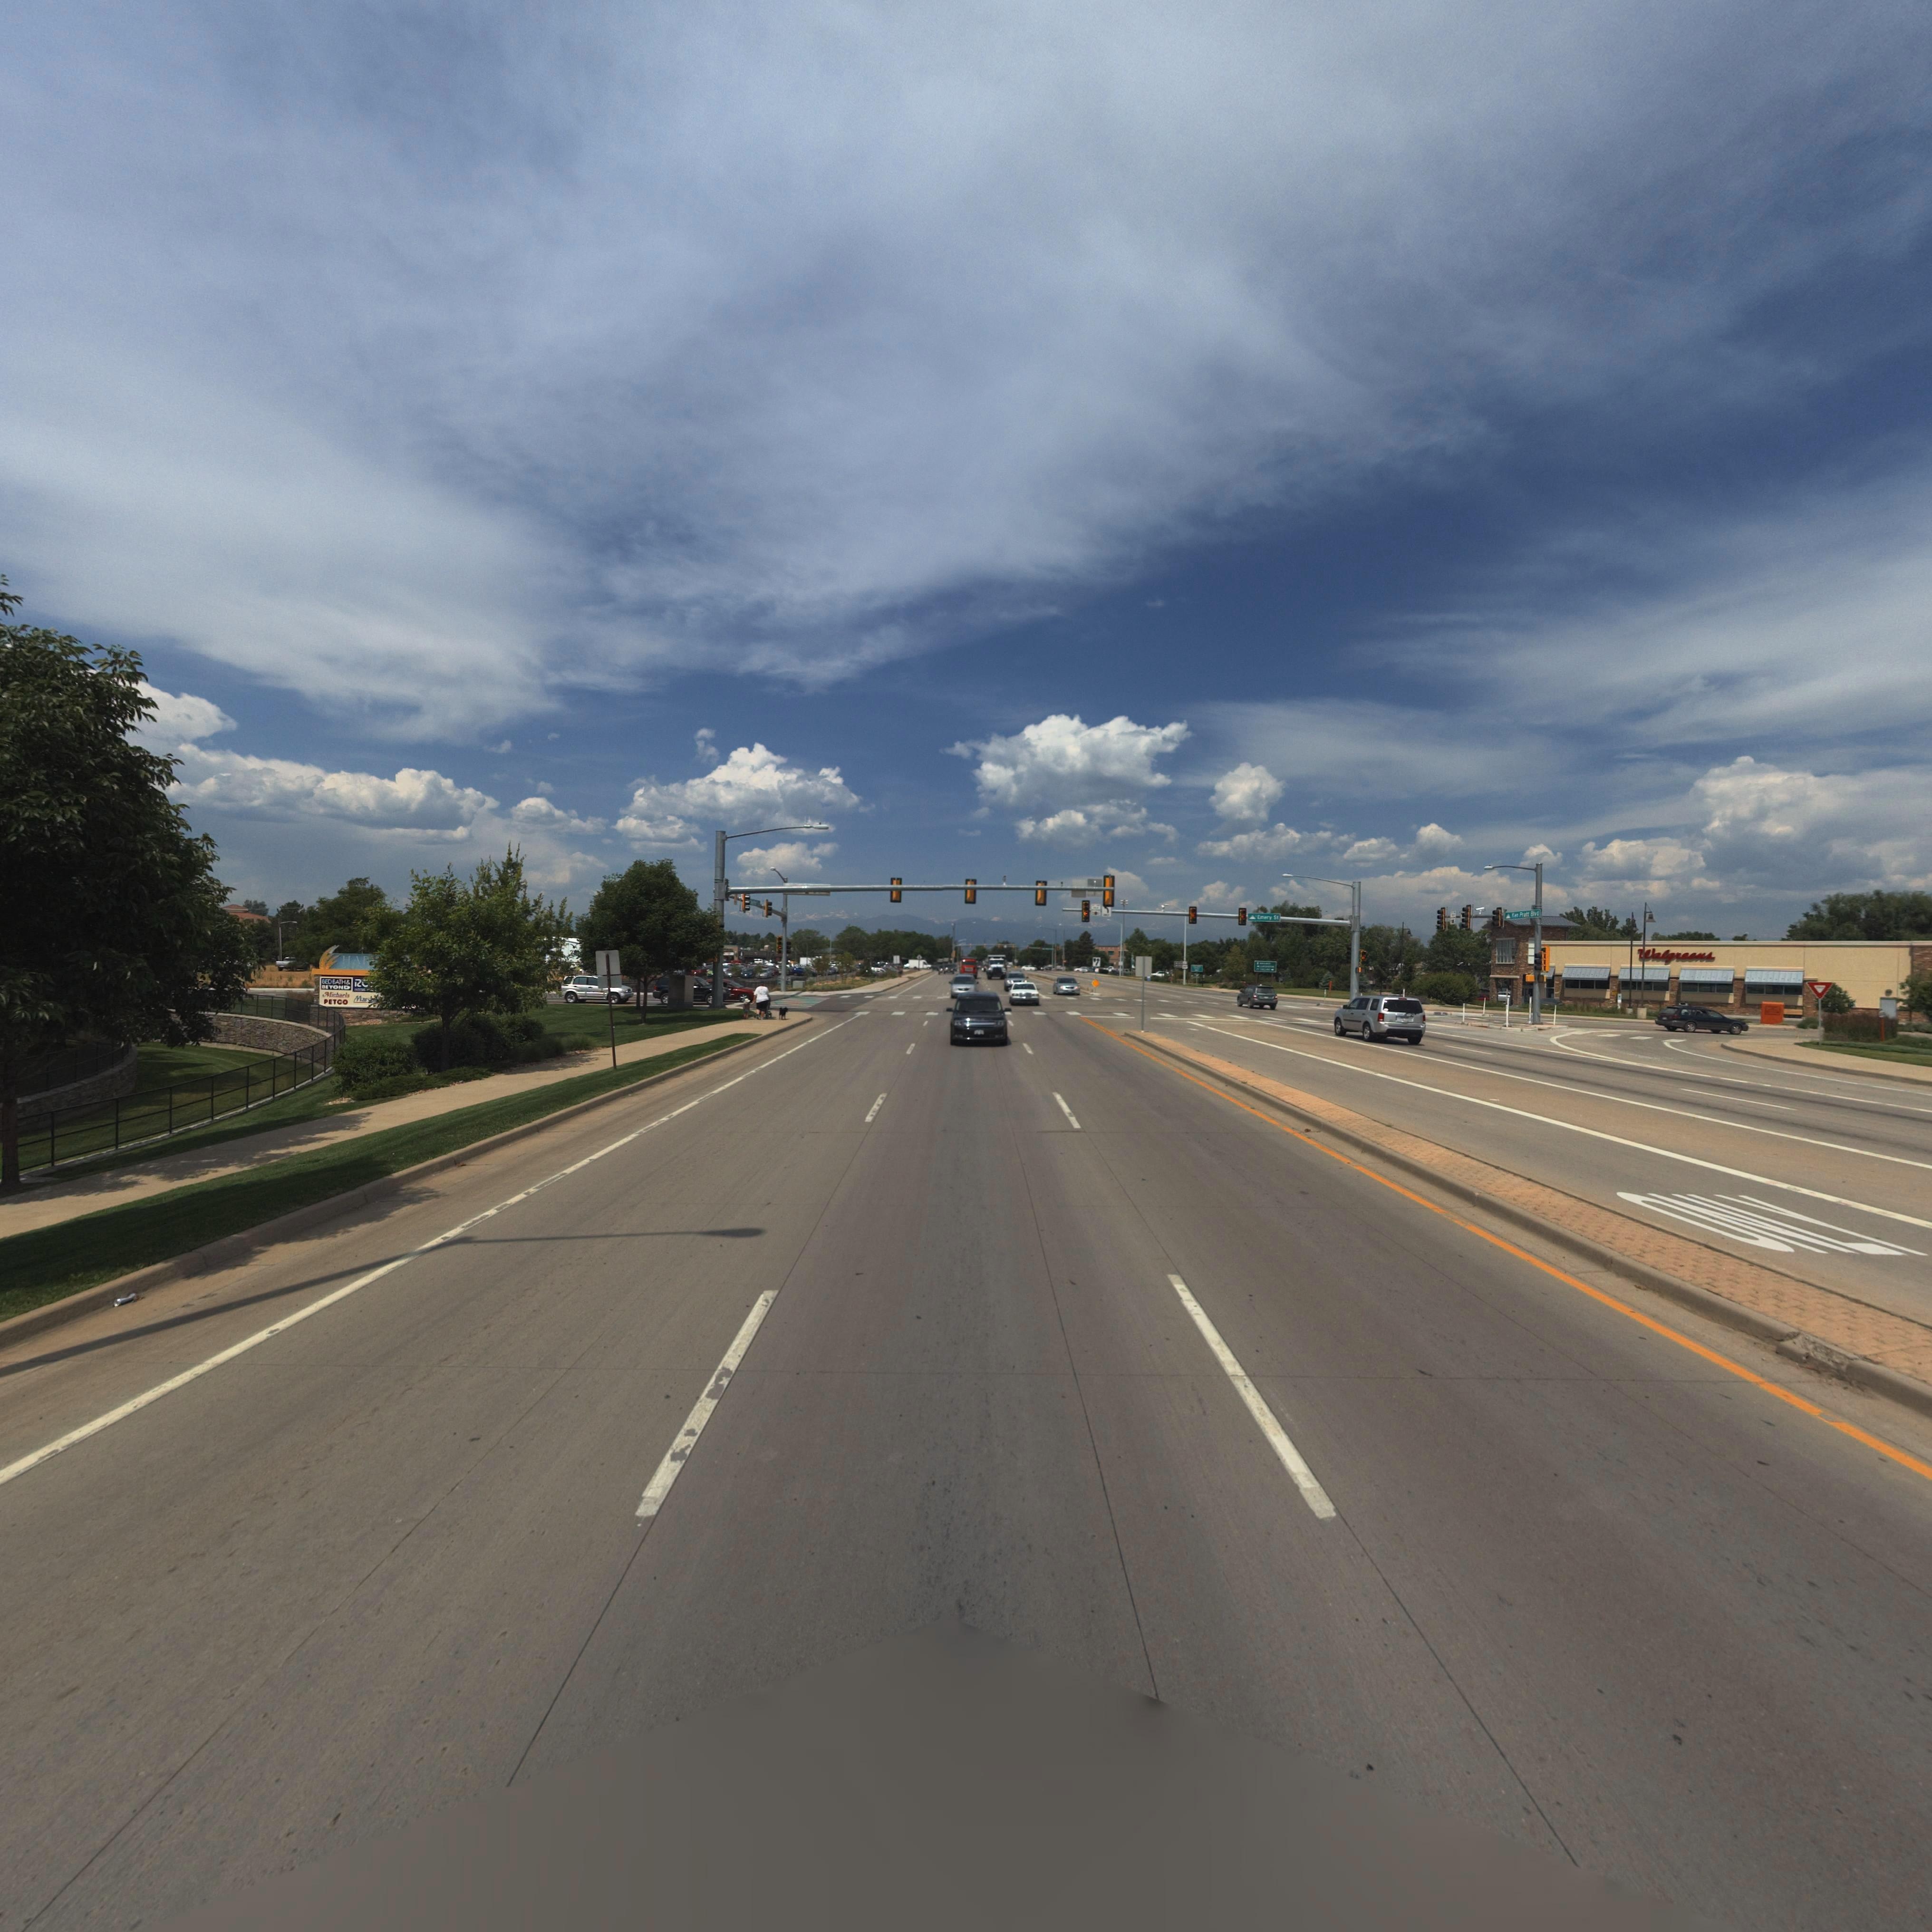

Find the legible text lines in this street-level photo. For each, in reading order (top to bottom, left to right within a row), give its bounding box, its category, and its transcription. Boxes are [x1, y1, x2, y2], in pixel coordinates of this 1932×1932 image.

[1257, 914, 1279, 920] StreetName: E**ry St
[1511, 910, 1539, 918] StreetName: *en Pratt Blvd
[1637, 947, 1716, 963] BusinessName: Walgreens
[321, 978, 351, 985] BusinessName: BED BATH &
[354, 978, 361, 987] BusinessName: R
[322, 985, 350, 989] BusinessName: BEYOND
[322, 991, 350, 998] BusinessName: Mich**l*
[352, 995, 375, 1002] BusinessName: Mar**
[323, 999, 348, 1005] BusinessName: PETCO